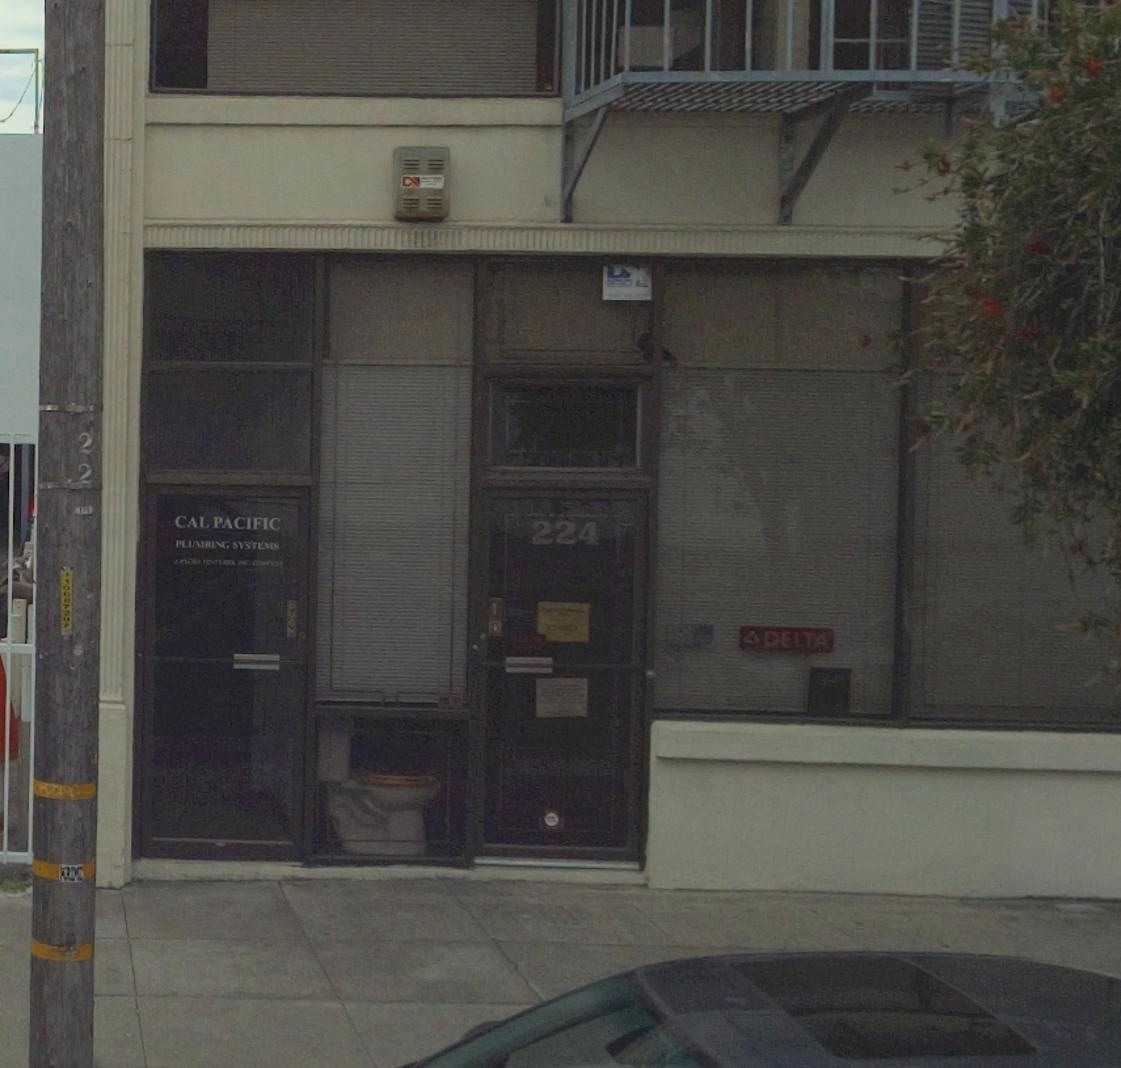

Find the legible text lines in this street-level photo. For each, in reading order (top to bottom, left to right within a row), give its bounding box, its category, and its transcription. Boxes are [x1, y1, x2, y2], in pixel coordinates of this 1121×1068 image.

[73, 428, 95, 487] None: 22
[171, 512, 284, 534] BusinessName: CAL PACIFIC
[173, 536, 282, 553] None: PLUMBING SYSTEMS
[530, 519, 601, 547] StreetNumber: 224
[60, 569, 74, 625] None: 1100*770
[762, 628, 832, 652] None: DELTA